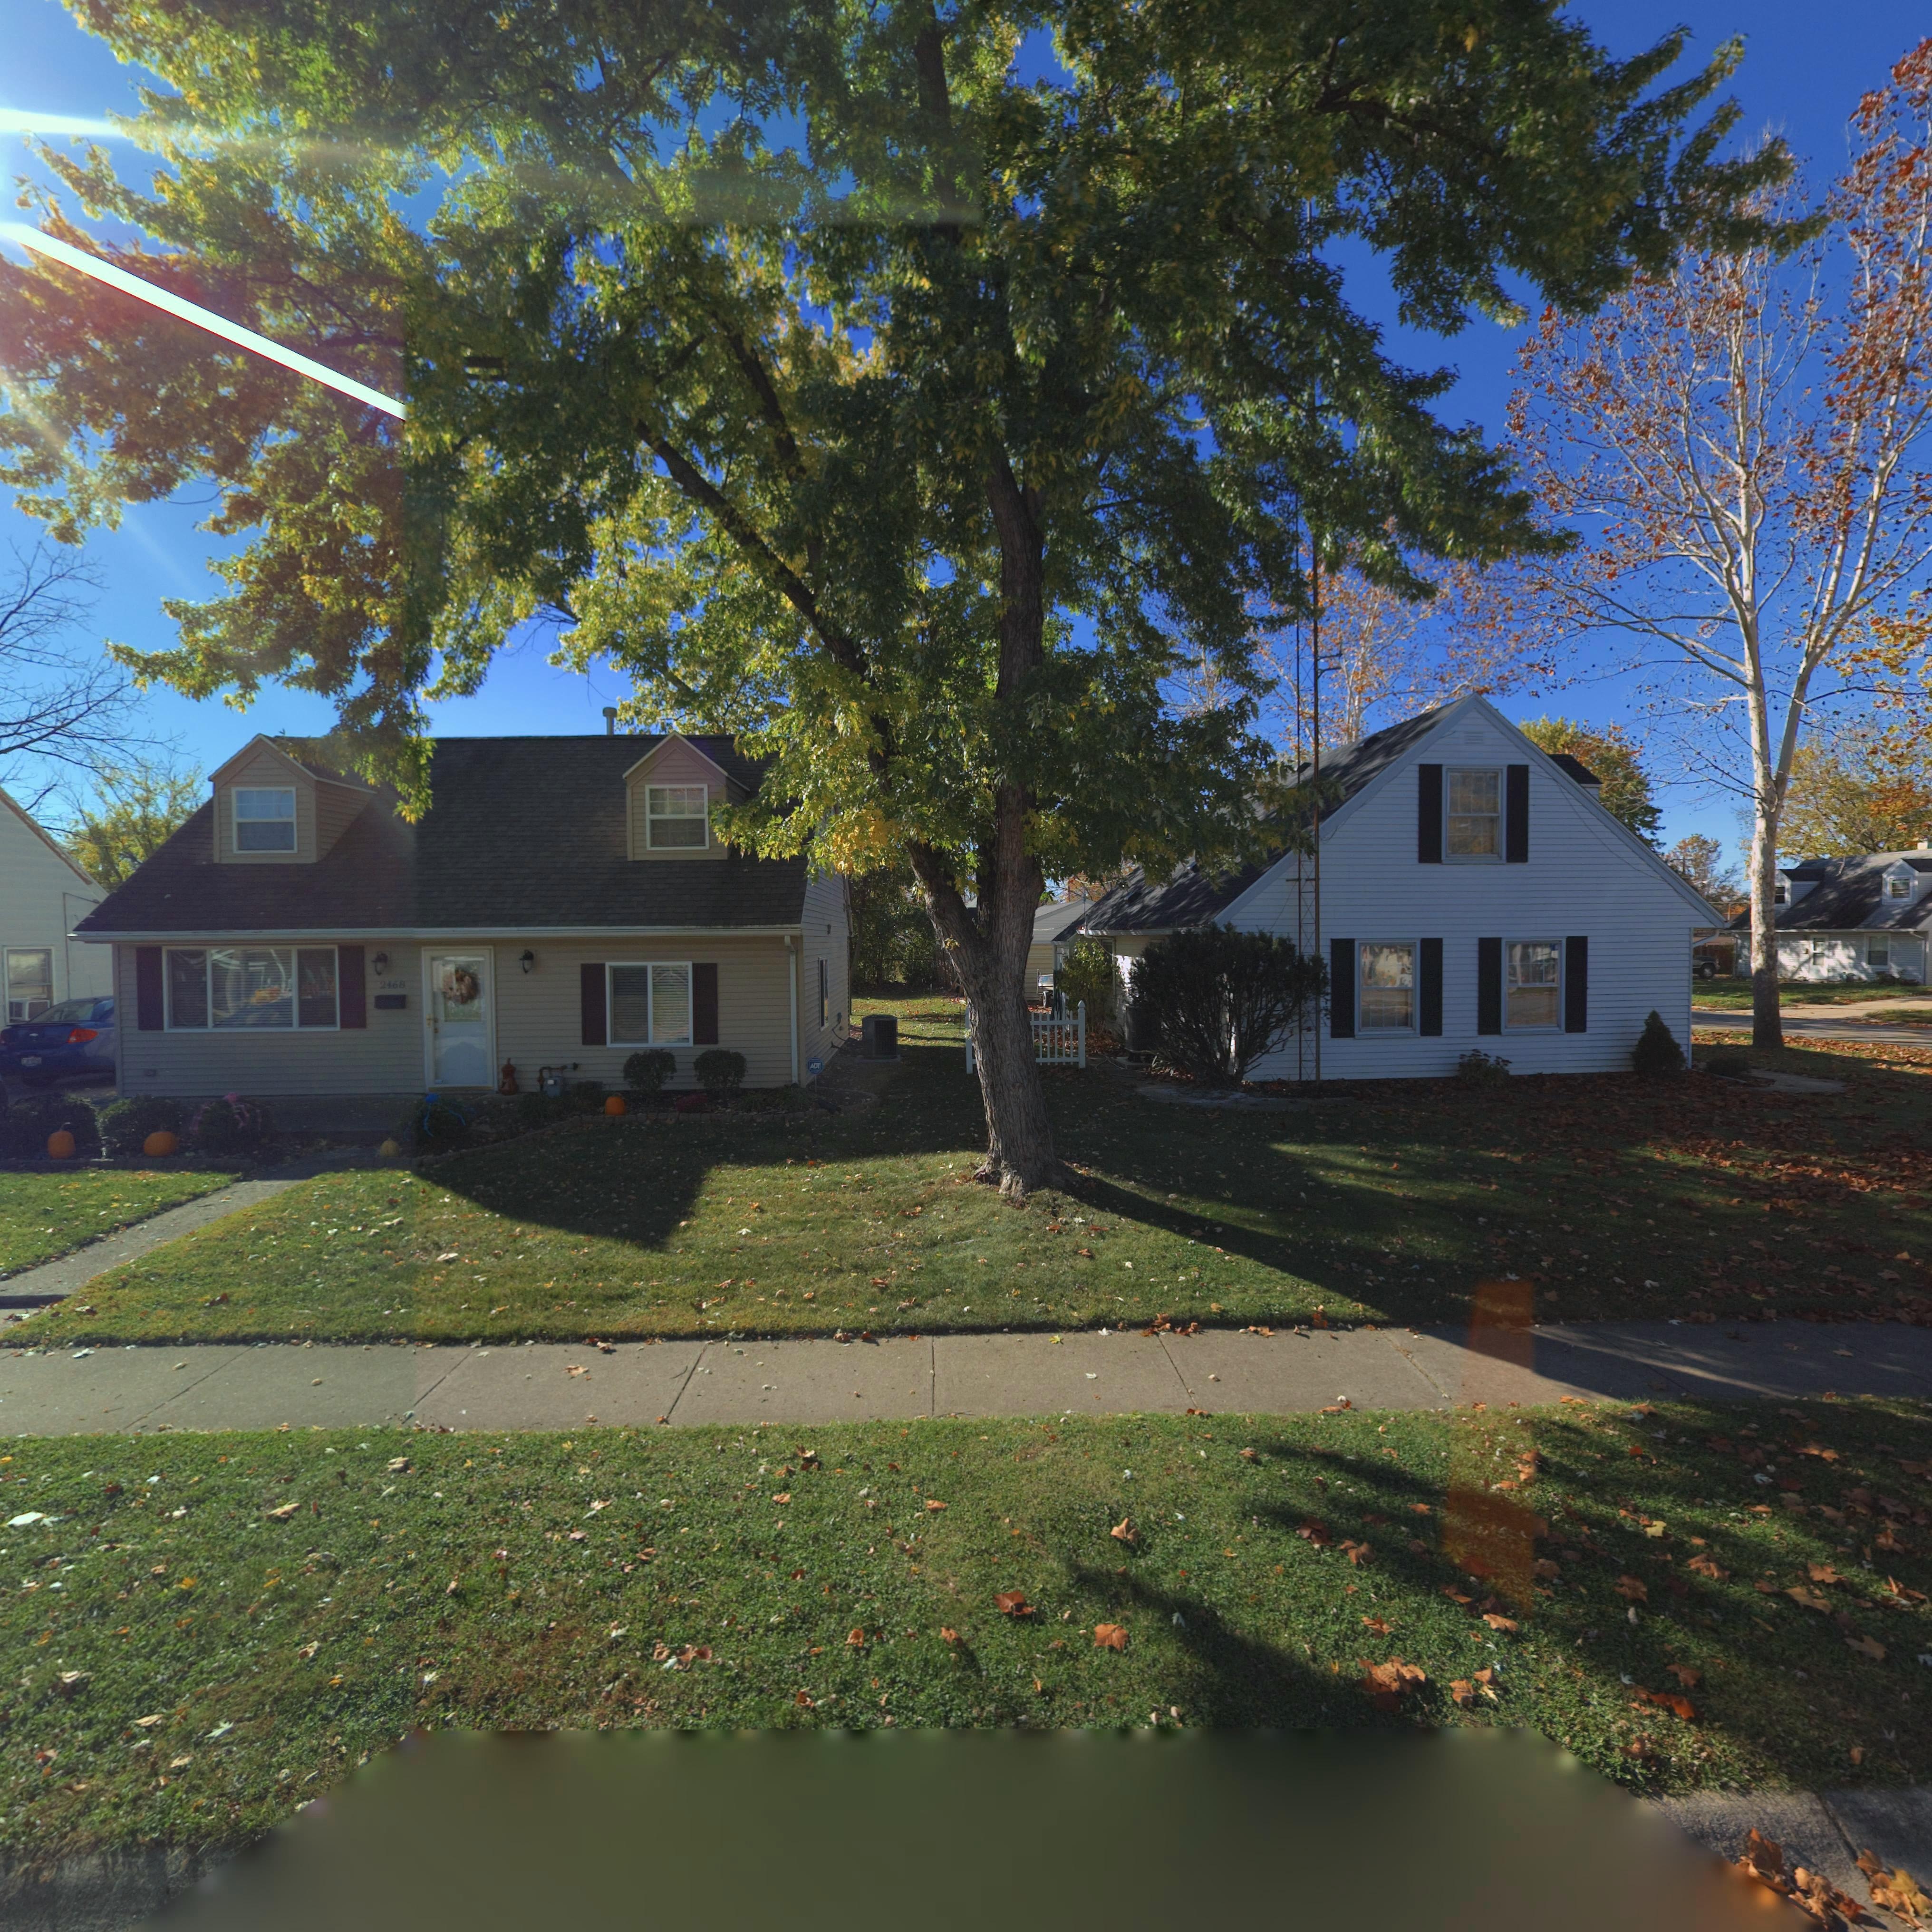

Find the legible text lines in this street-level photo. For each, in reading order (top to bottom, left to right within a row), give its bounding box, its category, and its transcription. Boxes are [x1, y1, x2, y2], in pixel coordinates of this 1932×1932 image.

[379, 980, 406, 989] StreetNumber: 2468